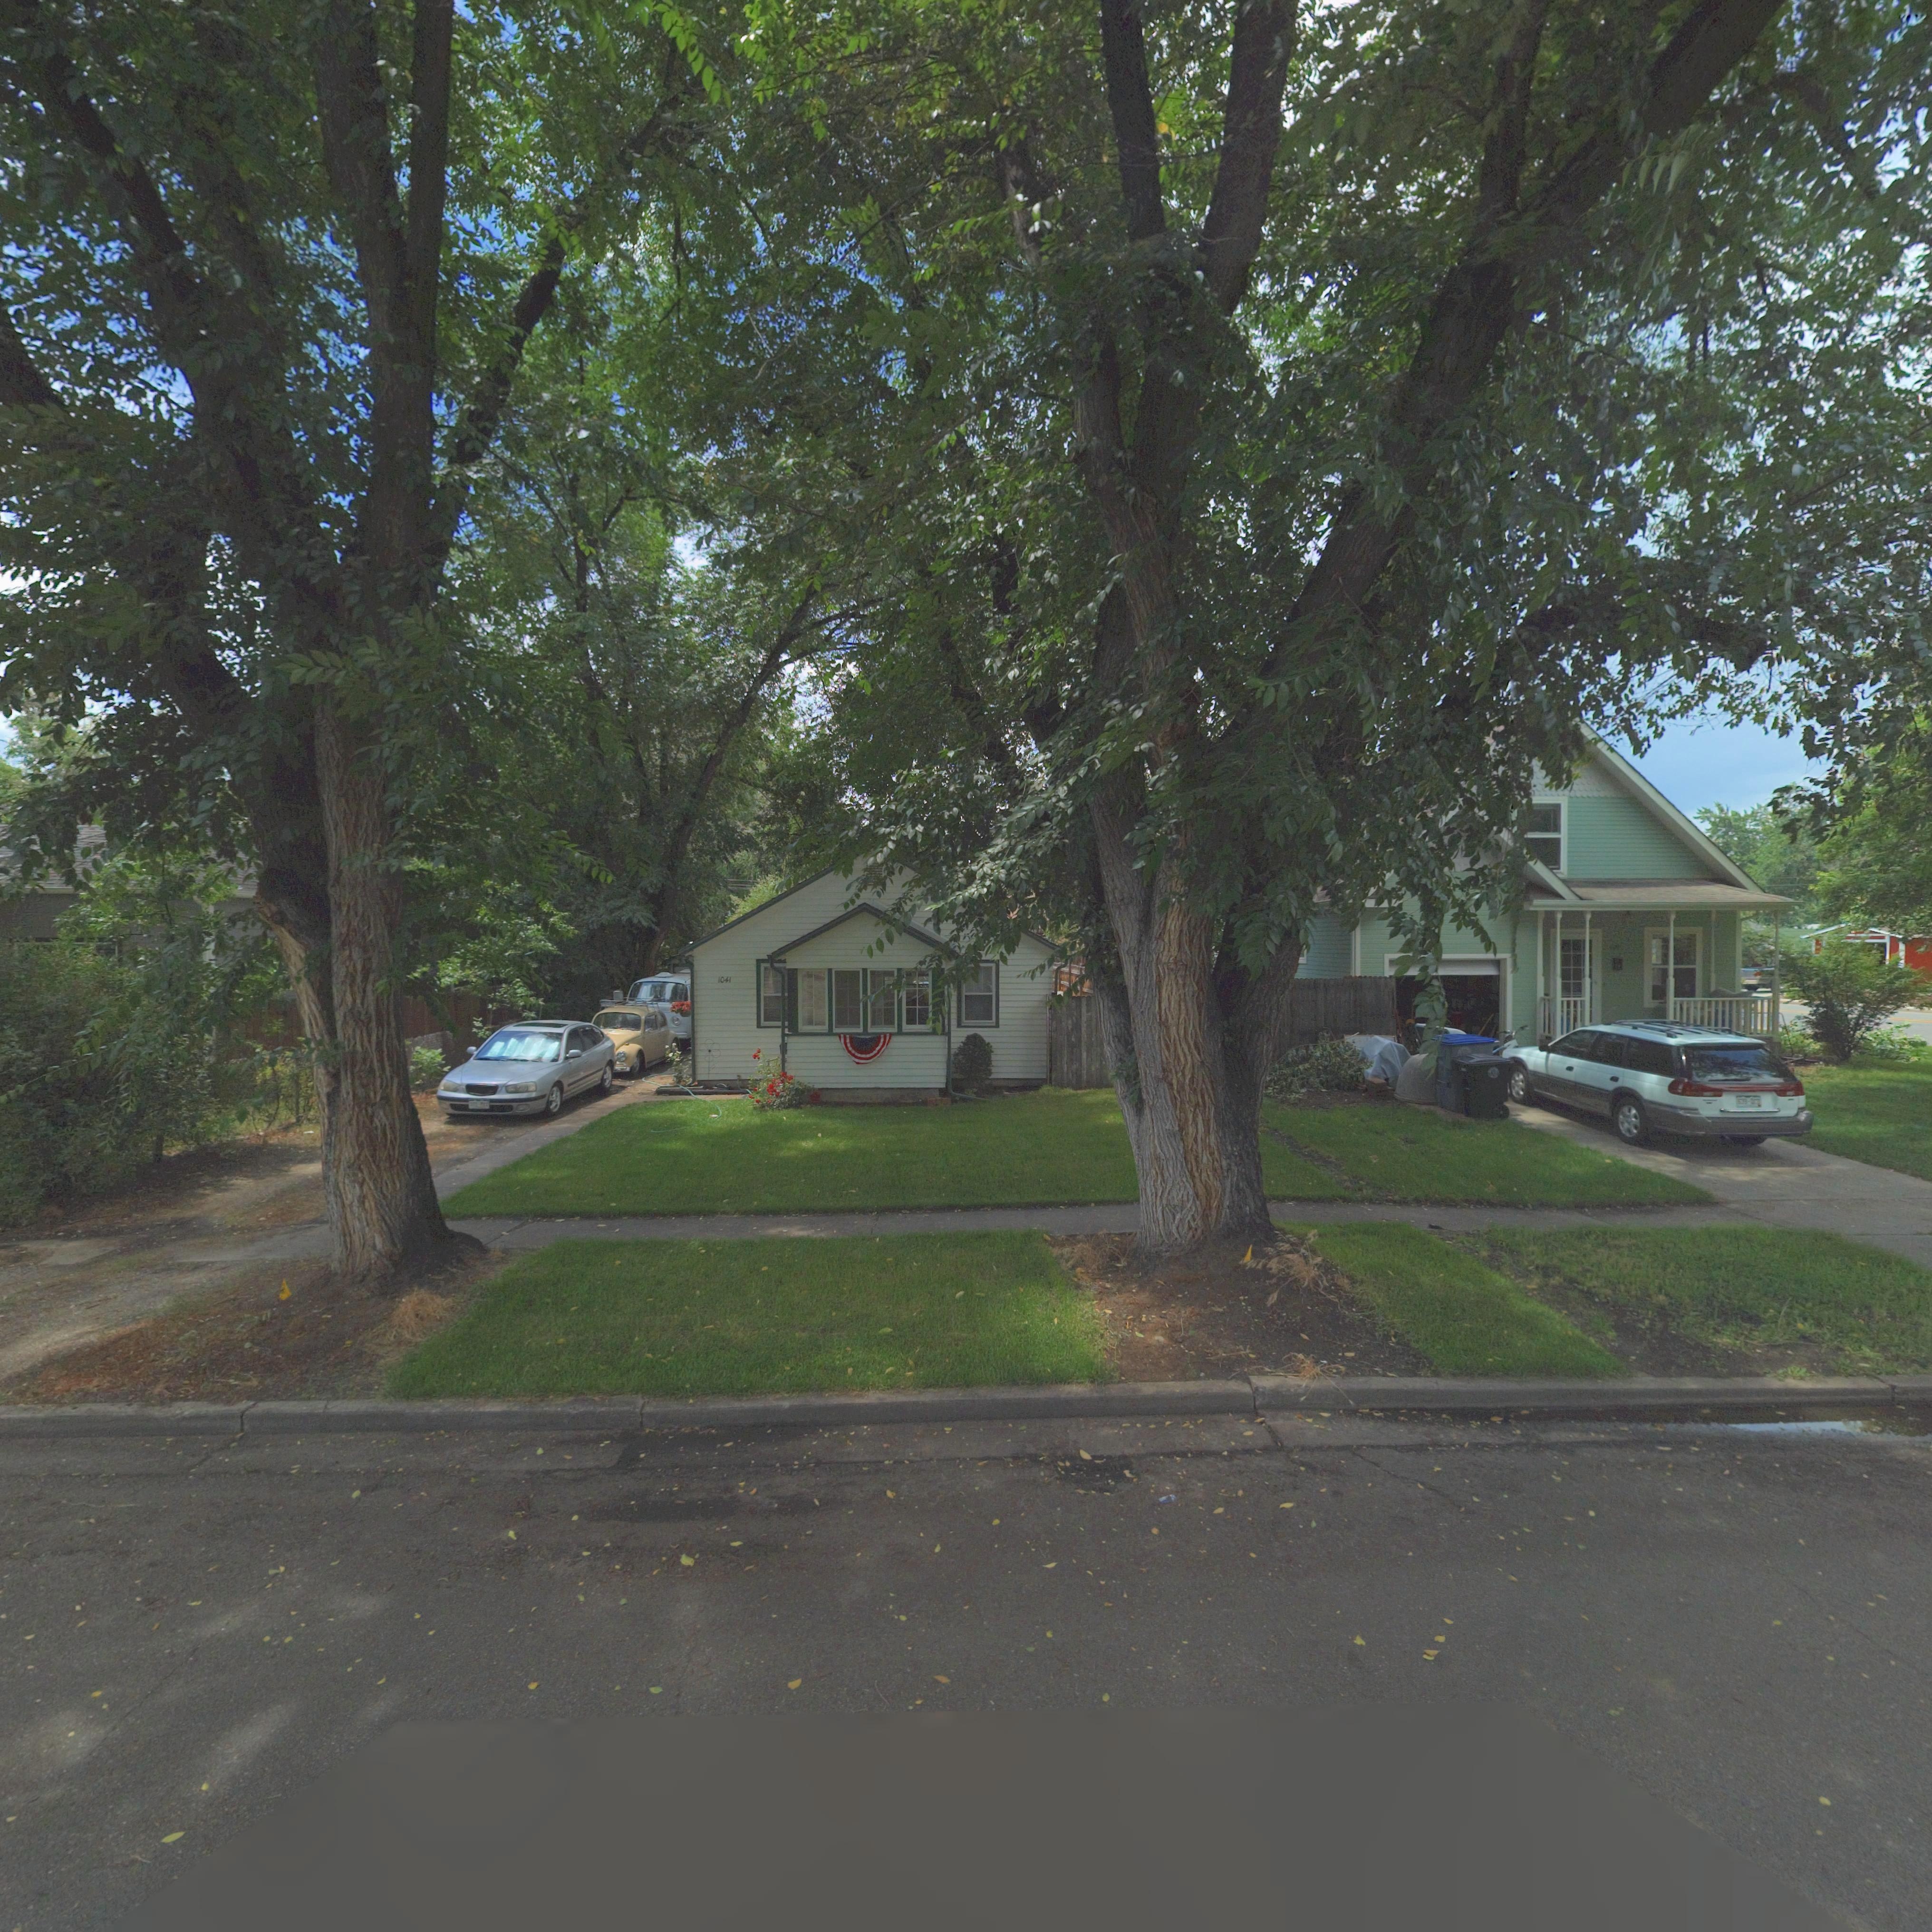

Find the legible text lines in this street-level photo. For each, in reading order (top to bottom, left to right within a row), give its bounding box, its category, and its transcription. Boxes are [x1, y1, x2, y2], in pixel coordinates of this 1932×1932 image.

[718, 976, 731, 983] StreetNumber: 1041